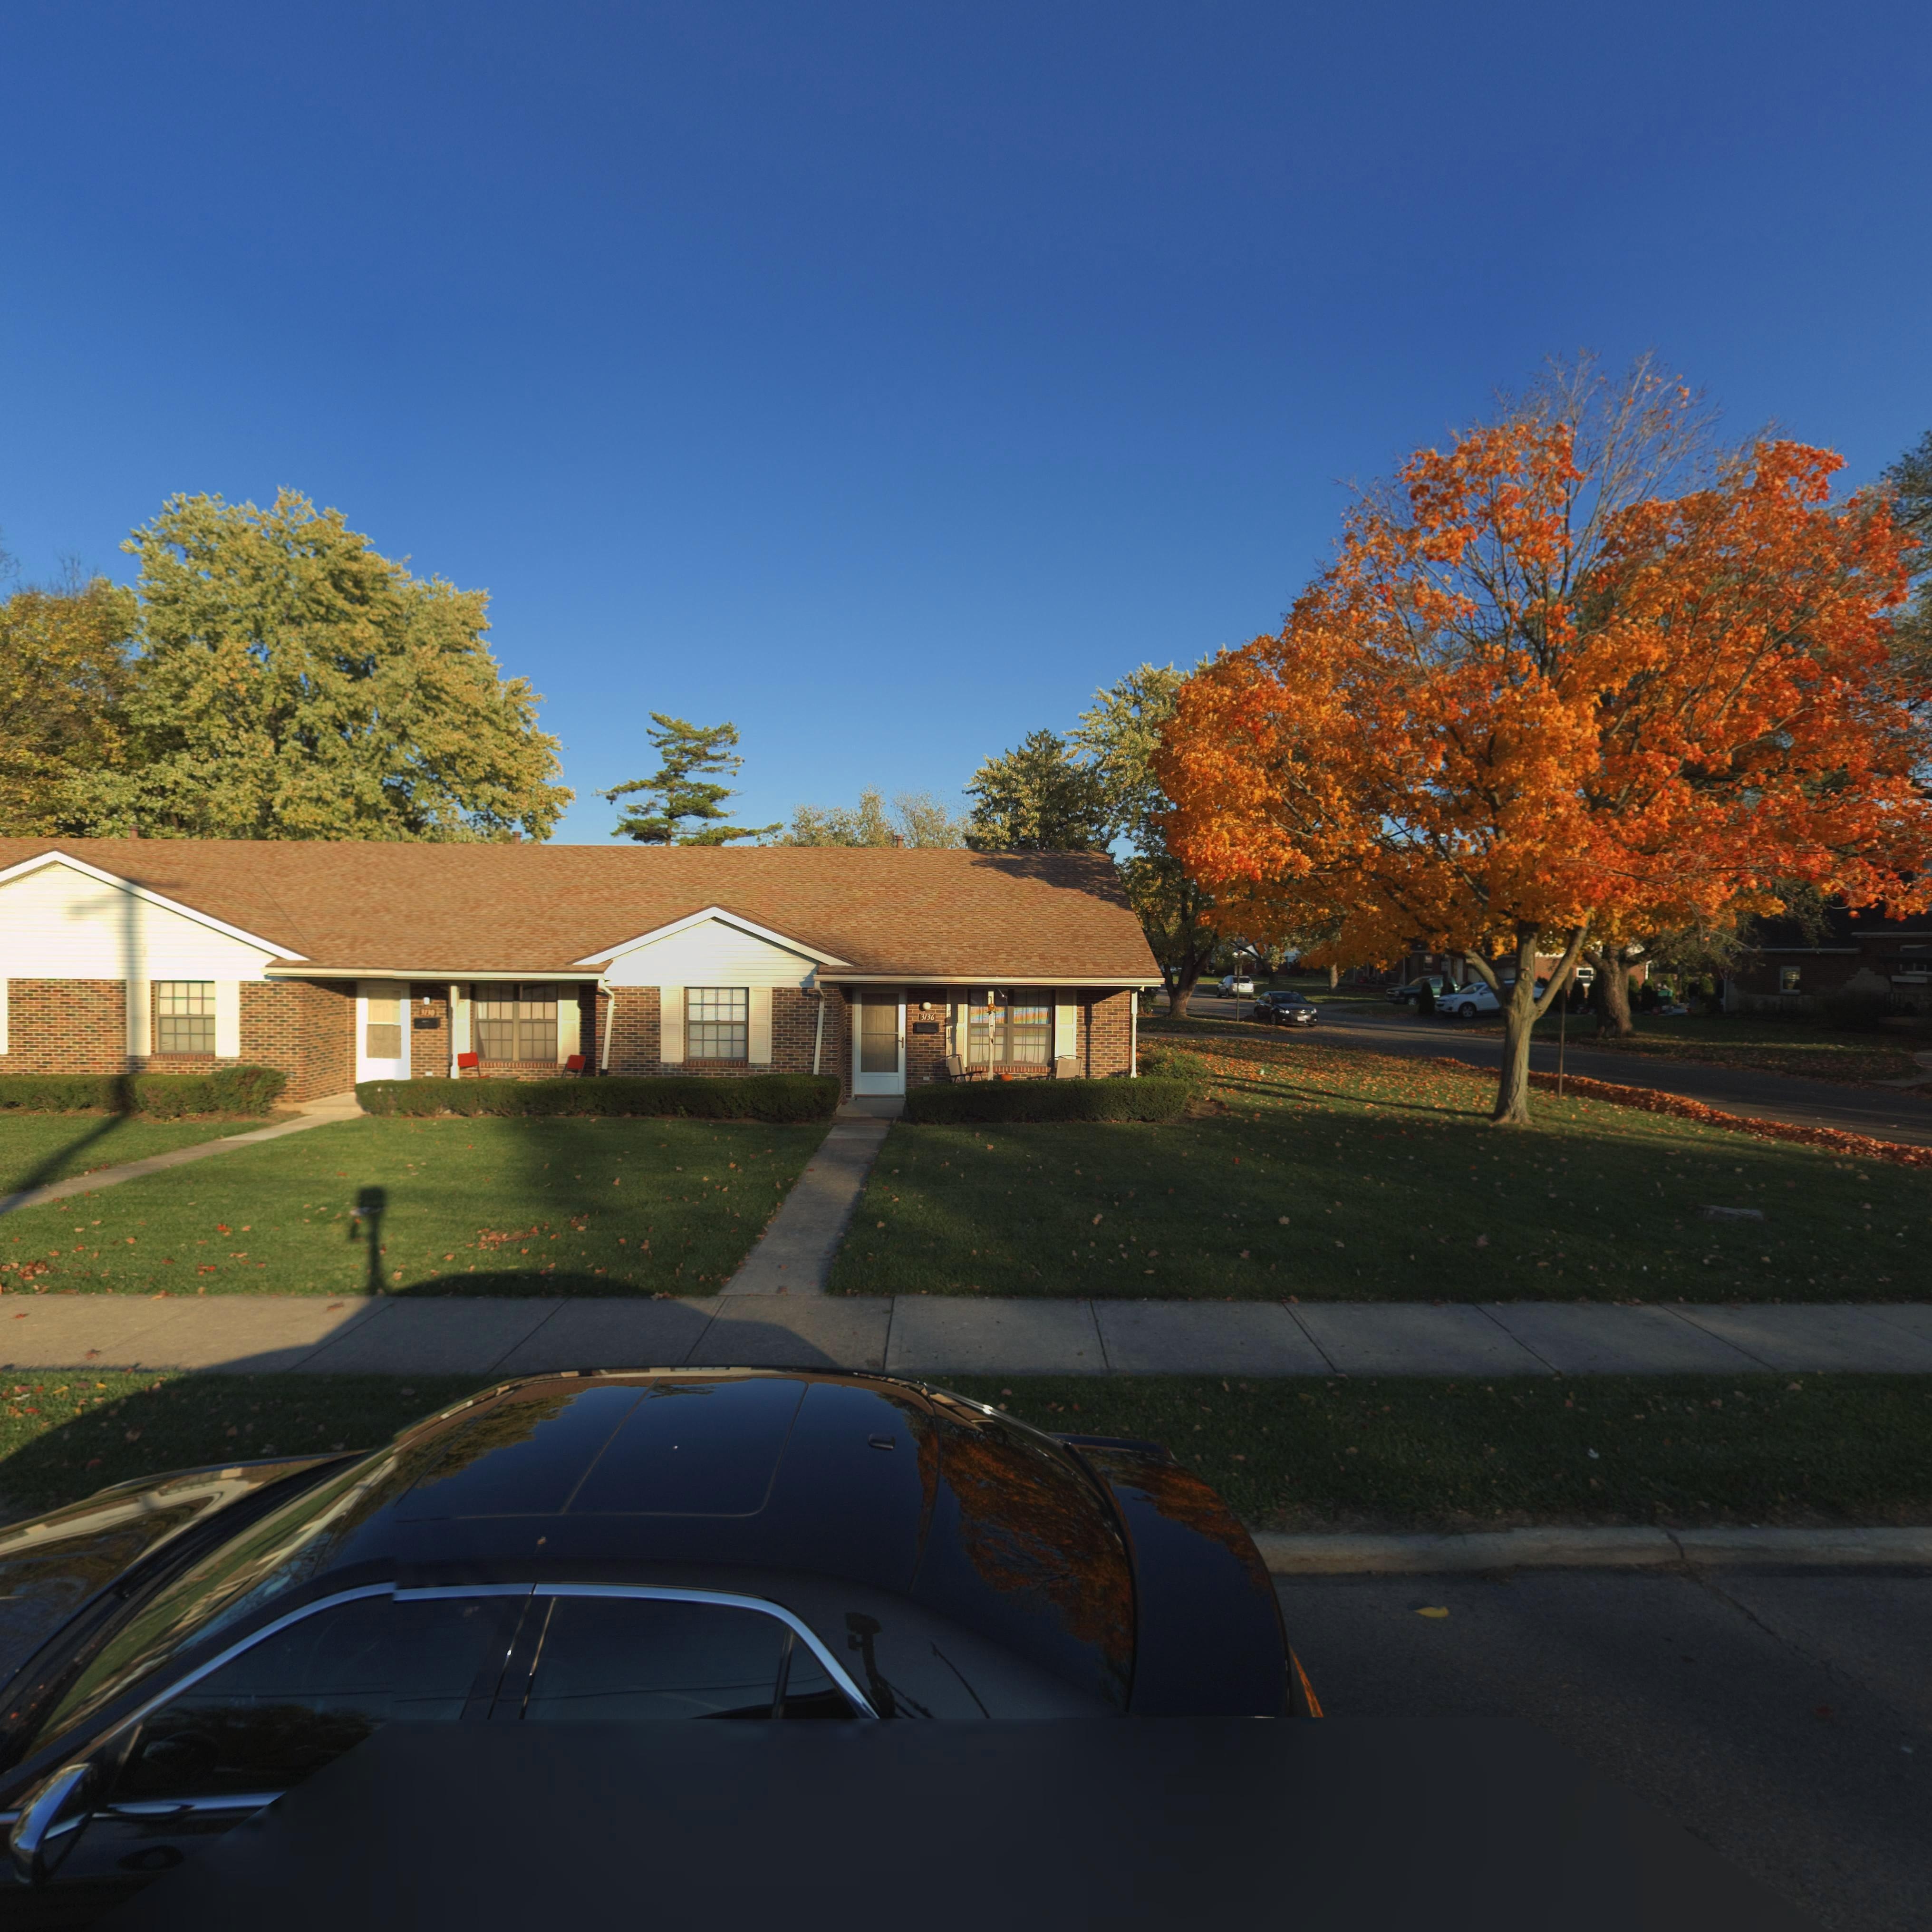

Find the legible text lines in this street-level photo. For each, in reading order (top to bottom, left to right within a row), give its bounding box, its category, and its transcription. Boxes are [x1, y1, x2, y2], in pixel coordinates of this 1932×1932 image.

[419, 1008, 436, 1017] StreetNumber: 3130
[920, 1013, 935, 1021] StreetNumber: 3136